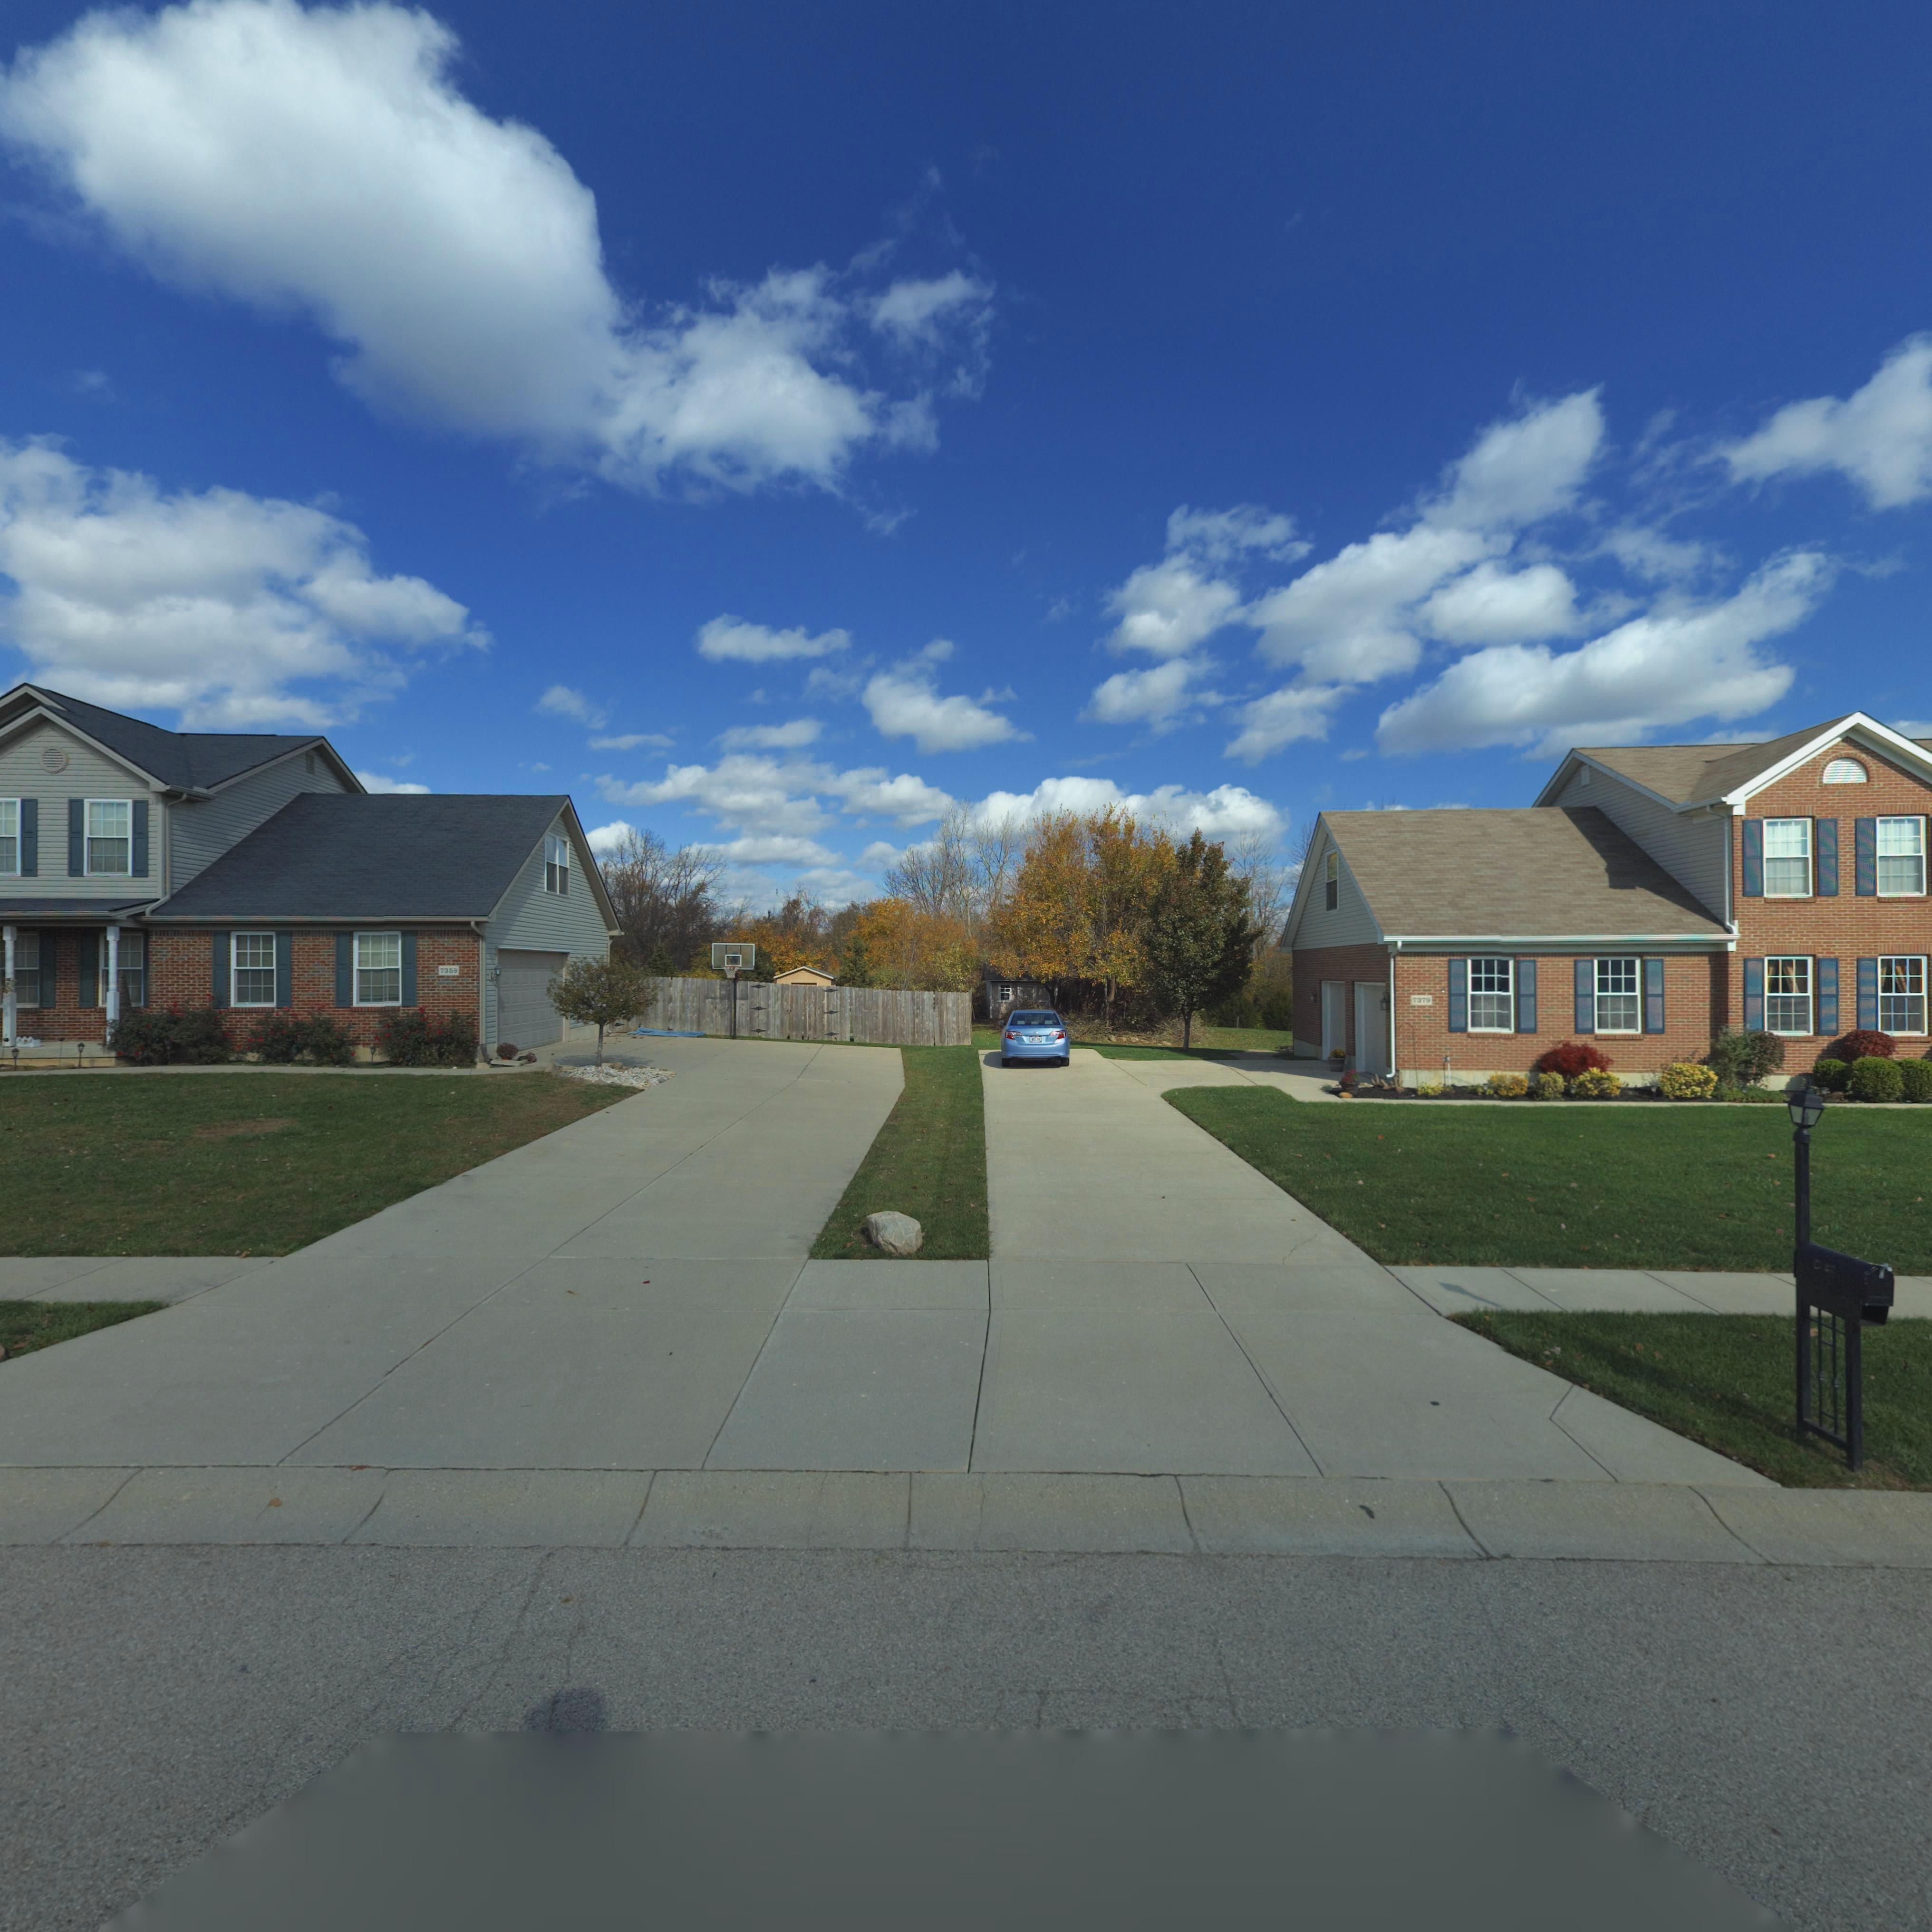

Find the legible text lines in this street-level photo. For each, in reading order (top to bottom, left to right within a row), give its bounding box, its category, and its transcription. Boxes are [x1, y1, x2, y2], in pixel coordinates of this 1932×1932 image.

[440, 967, 458, 974] StreetNumber: 7359
[1412, 997, 1431, 1004] StreetNumber: 7379